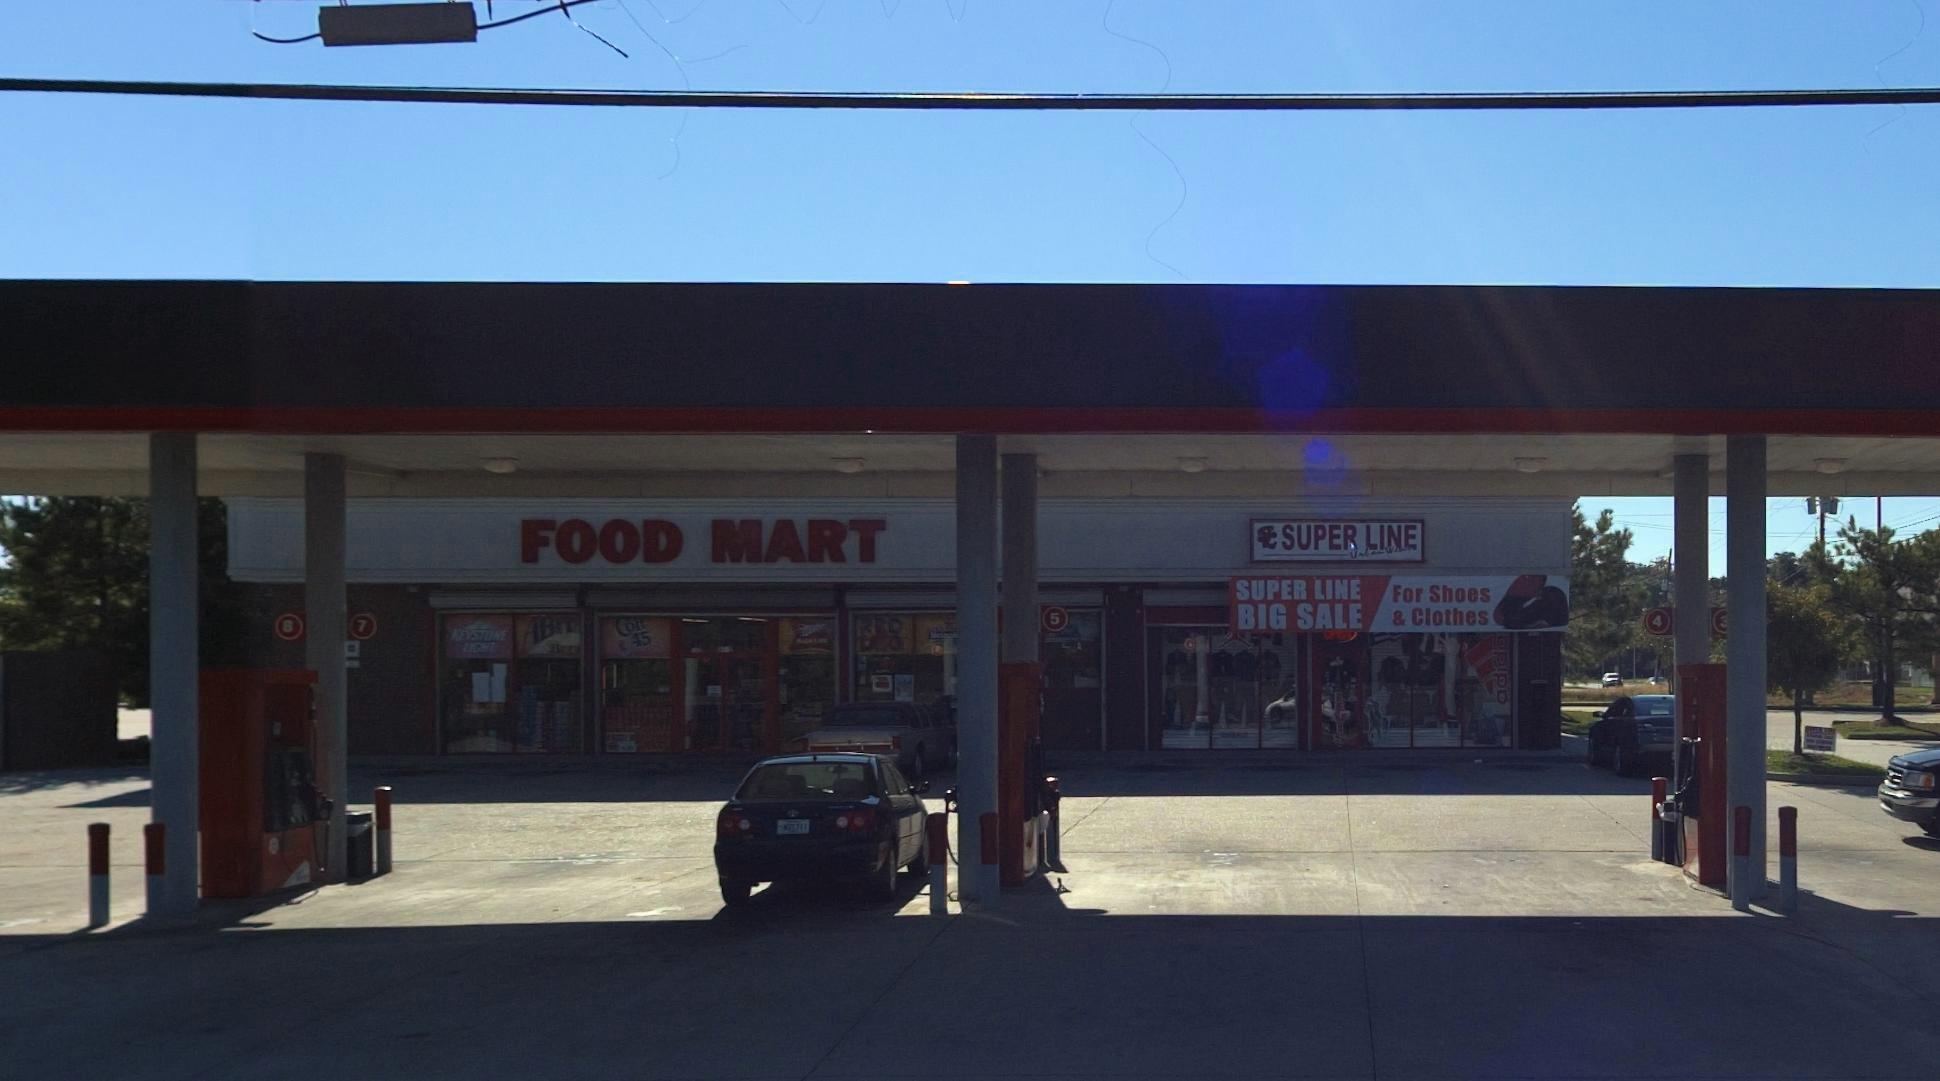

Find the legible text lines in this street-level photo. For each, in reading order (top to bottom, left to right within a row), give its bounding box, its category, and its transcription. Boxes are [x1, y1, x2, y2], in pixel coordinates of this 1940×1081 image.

[518, 515, 889, 567] BusinessName: FOOD MART
[1279, 522, 1419, 553] BusinessName: SUPER LINE
[1234, 577, 1364, 603] BusinessName: SUPER LINE
[1390, 583, 1493, 605] None: For Shoes
[279, 616, 296, 635] None: 8
[354, 616, 371, 635] None: 7
[445, 623, 511, 644] None: KEYSTONE
[459, 639, 498, 656] None: LIGHT
[519, 612, 558, 654] None: AB
[613, 614, 649, 639] None: Co**
[629, 628, 654, 650] None: 45
[887, 614, 905, 638] None: D
[1048, 610, 1063, 627] None: 5
[1235, 599, 1365, 632] None: BIG SALE
[1410, 605, 1492, 629] None: Clothes
[1650, 613, 1664, 630] None: 4
[1494, 635, 1509, 707] None: add*